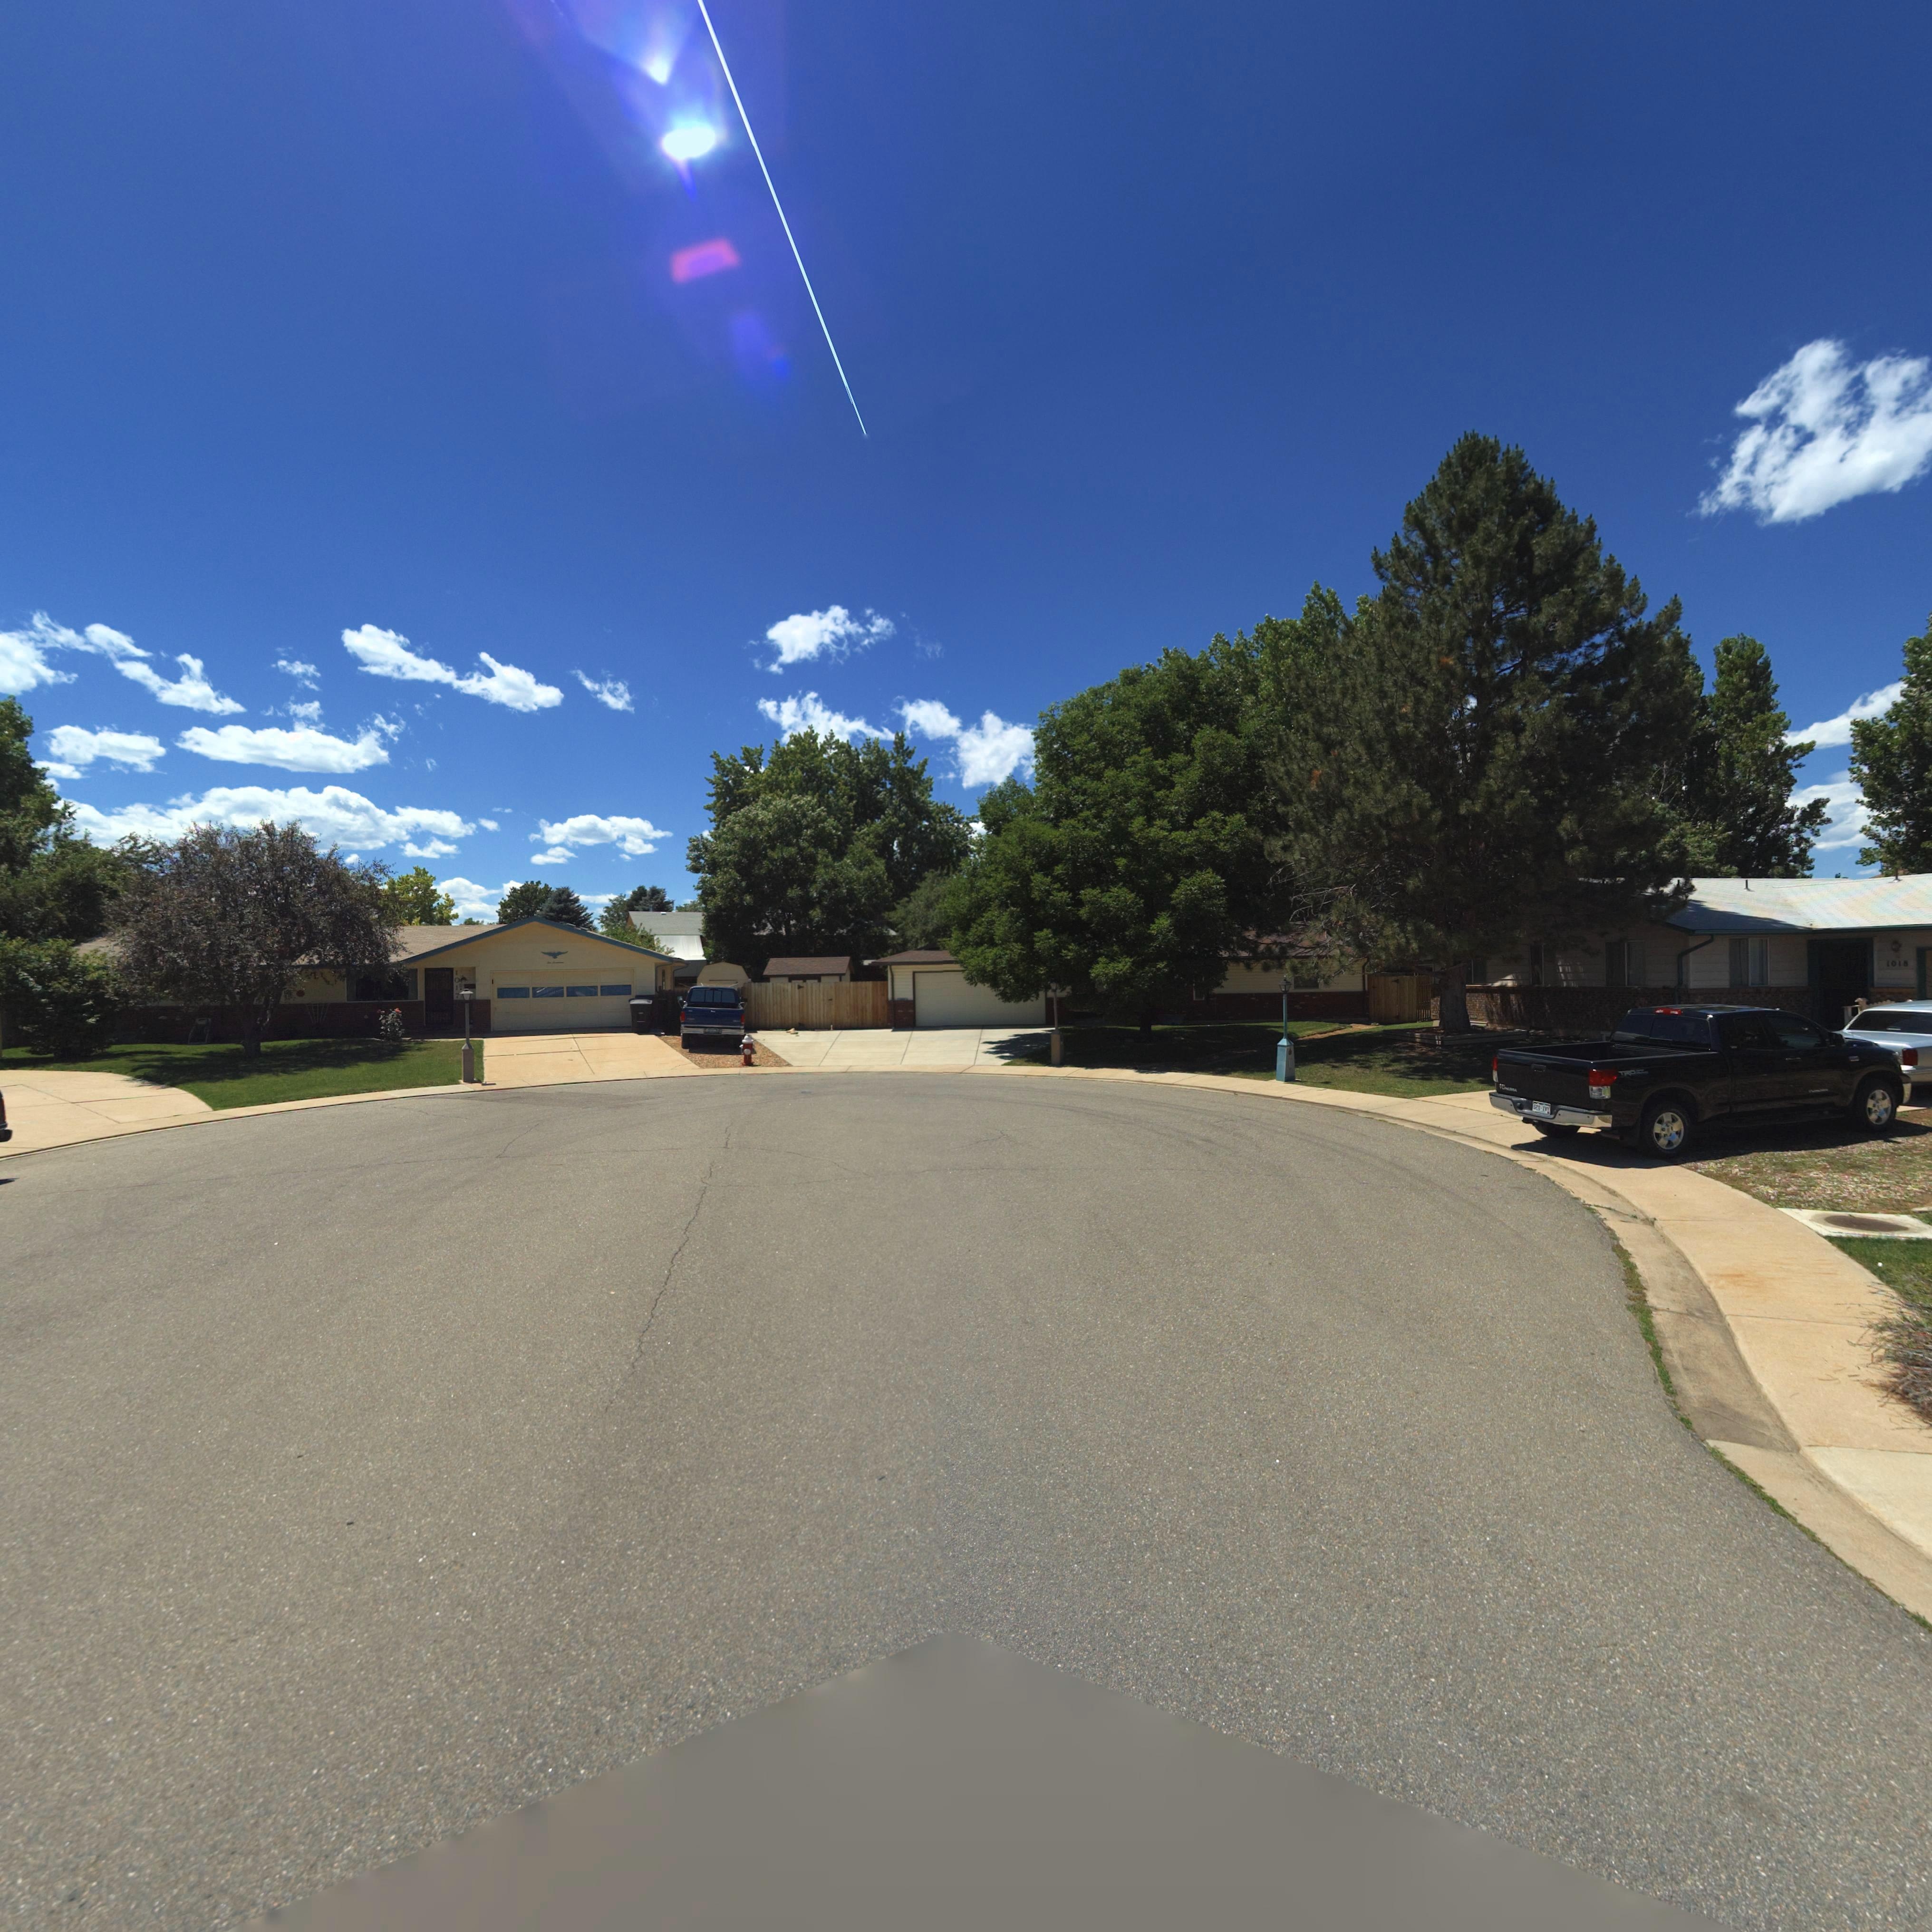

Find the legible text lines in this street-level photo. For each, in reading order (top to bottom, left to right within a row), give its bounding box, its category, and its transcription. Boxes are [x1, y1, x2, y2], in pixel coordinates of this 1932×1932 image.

[1886, 959, 1908, 967] StreetNumber: 1018
[454, 969, 460, 999] StreetNumber: 1017